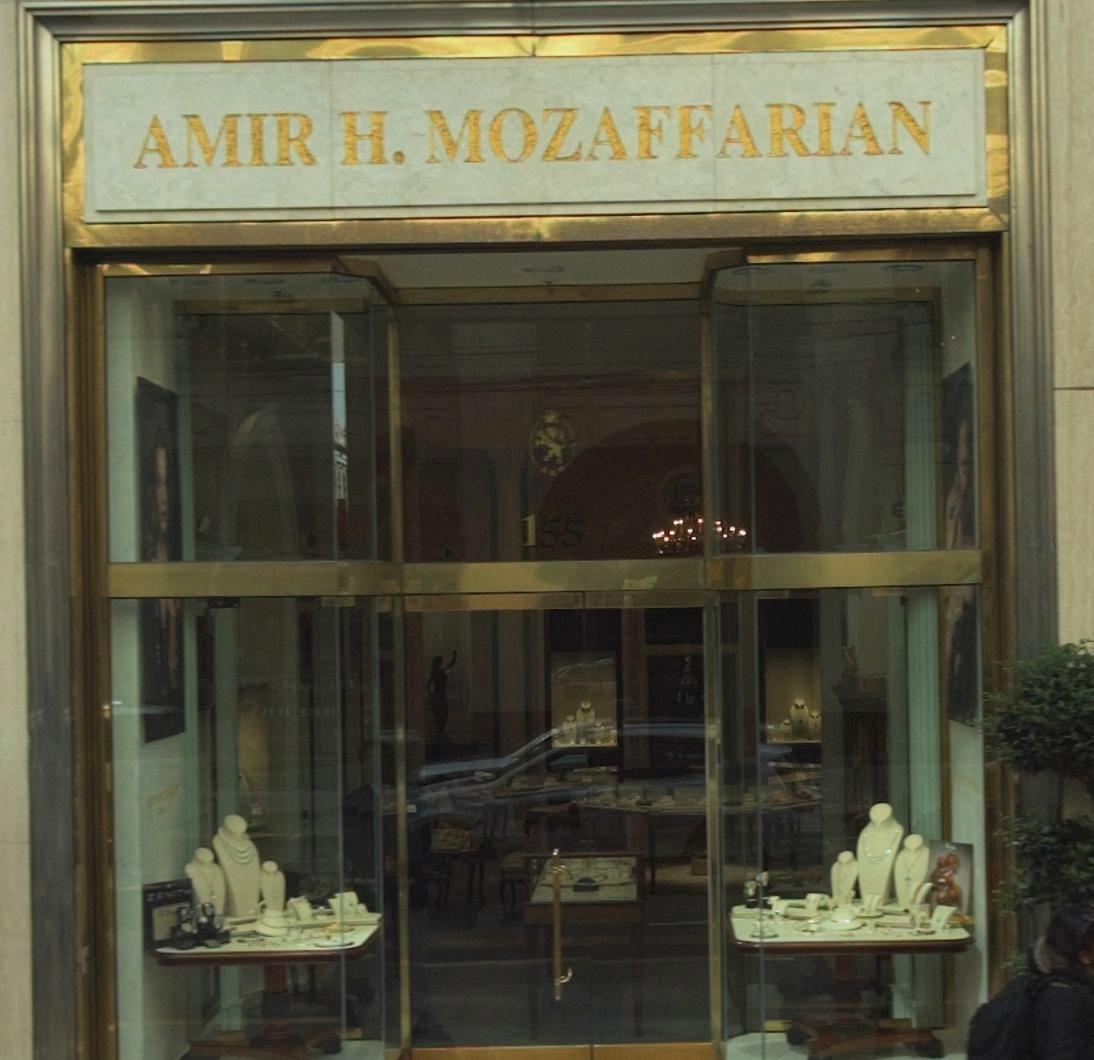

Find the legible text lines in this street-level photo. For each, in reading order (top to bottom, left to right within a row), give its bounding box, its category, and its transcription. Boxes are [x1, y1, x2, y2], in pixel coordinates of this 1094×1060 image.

[126, 96, 937, 174] BusinessName: AMIR H. MOZAFFARIAN
[515, 511, 589, 551] StreetNumber: 155